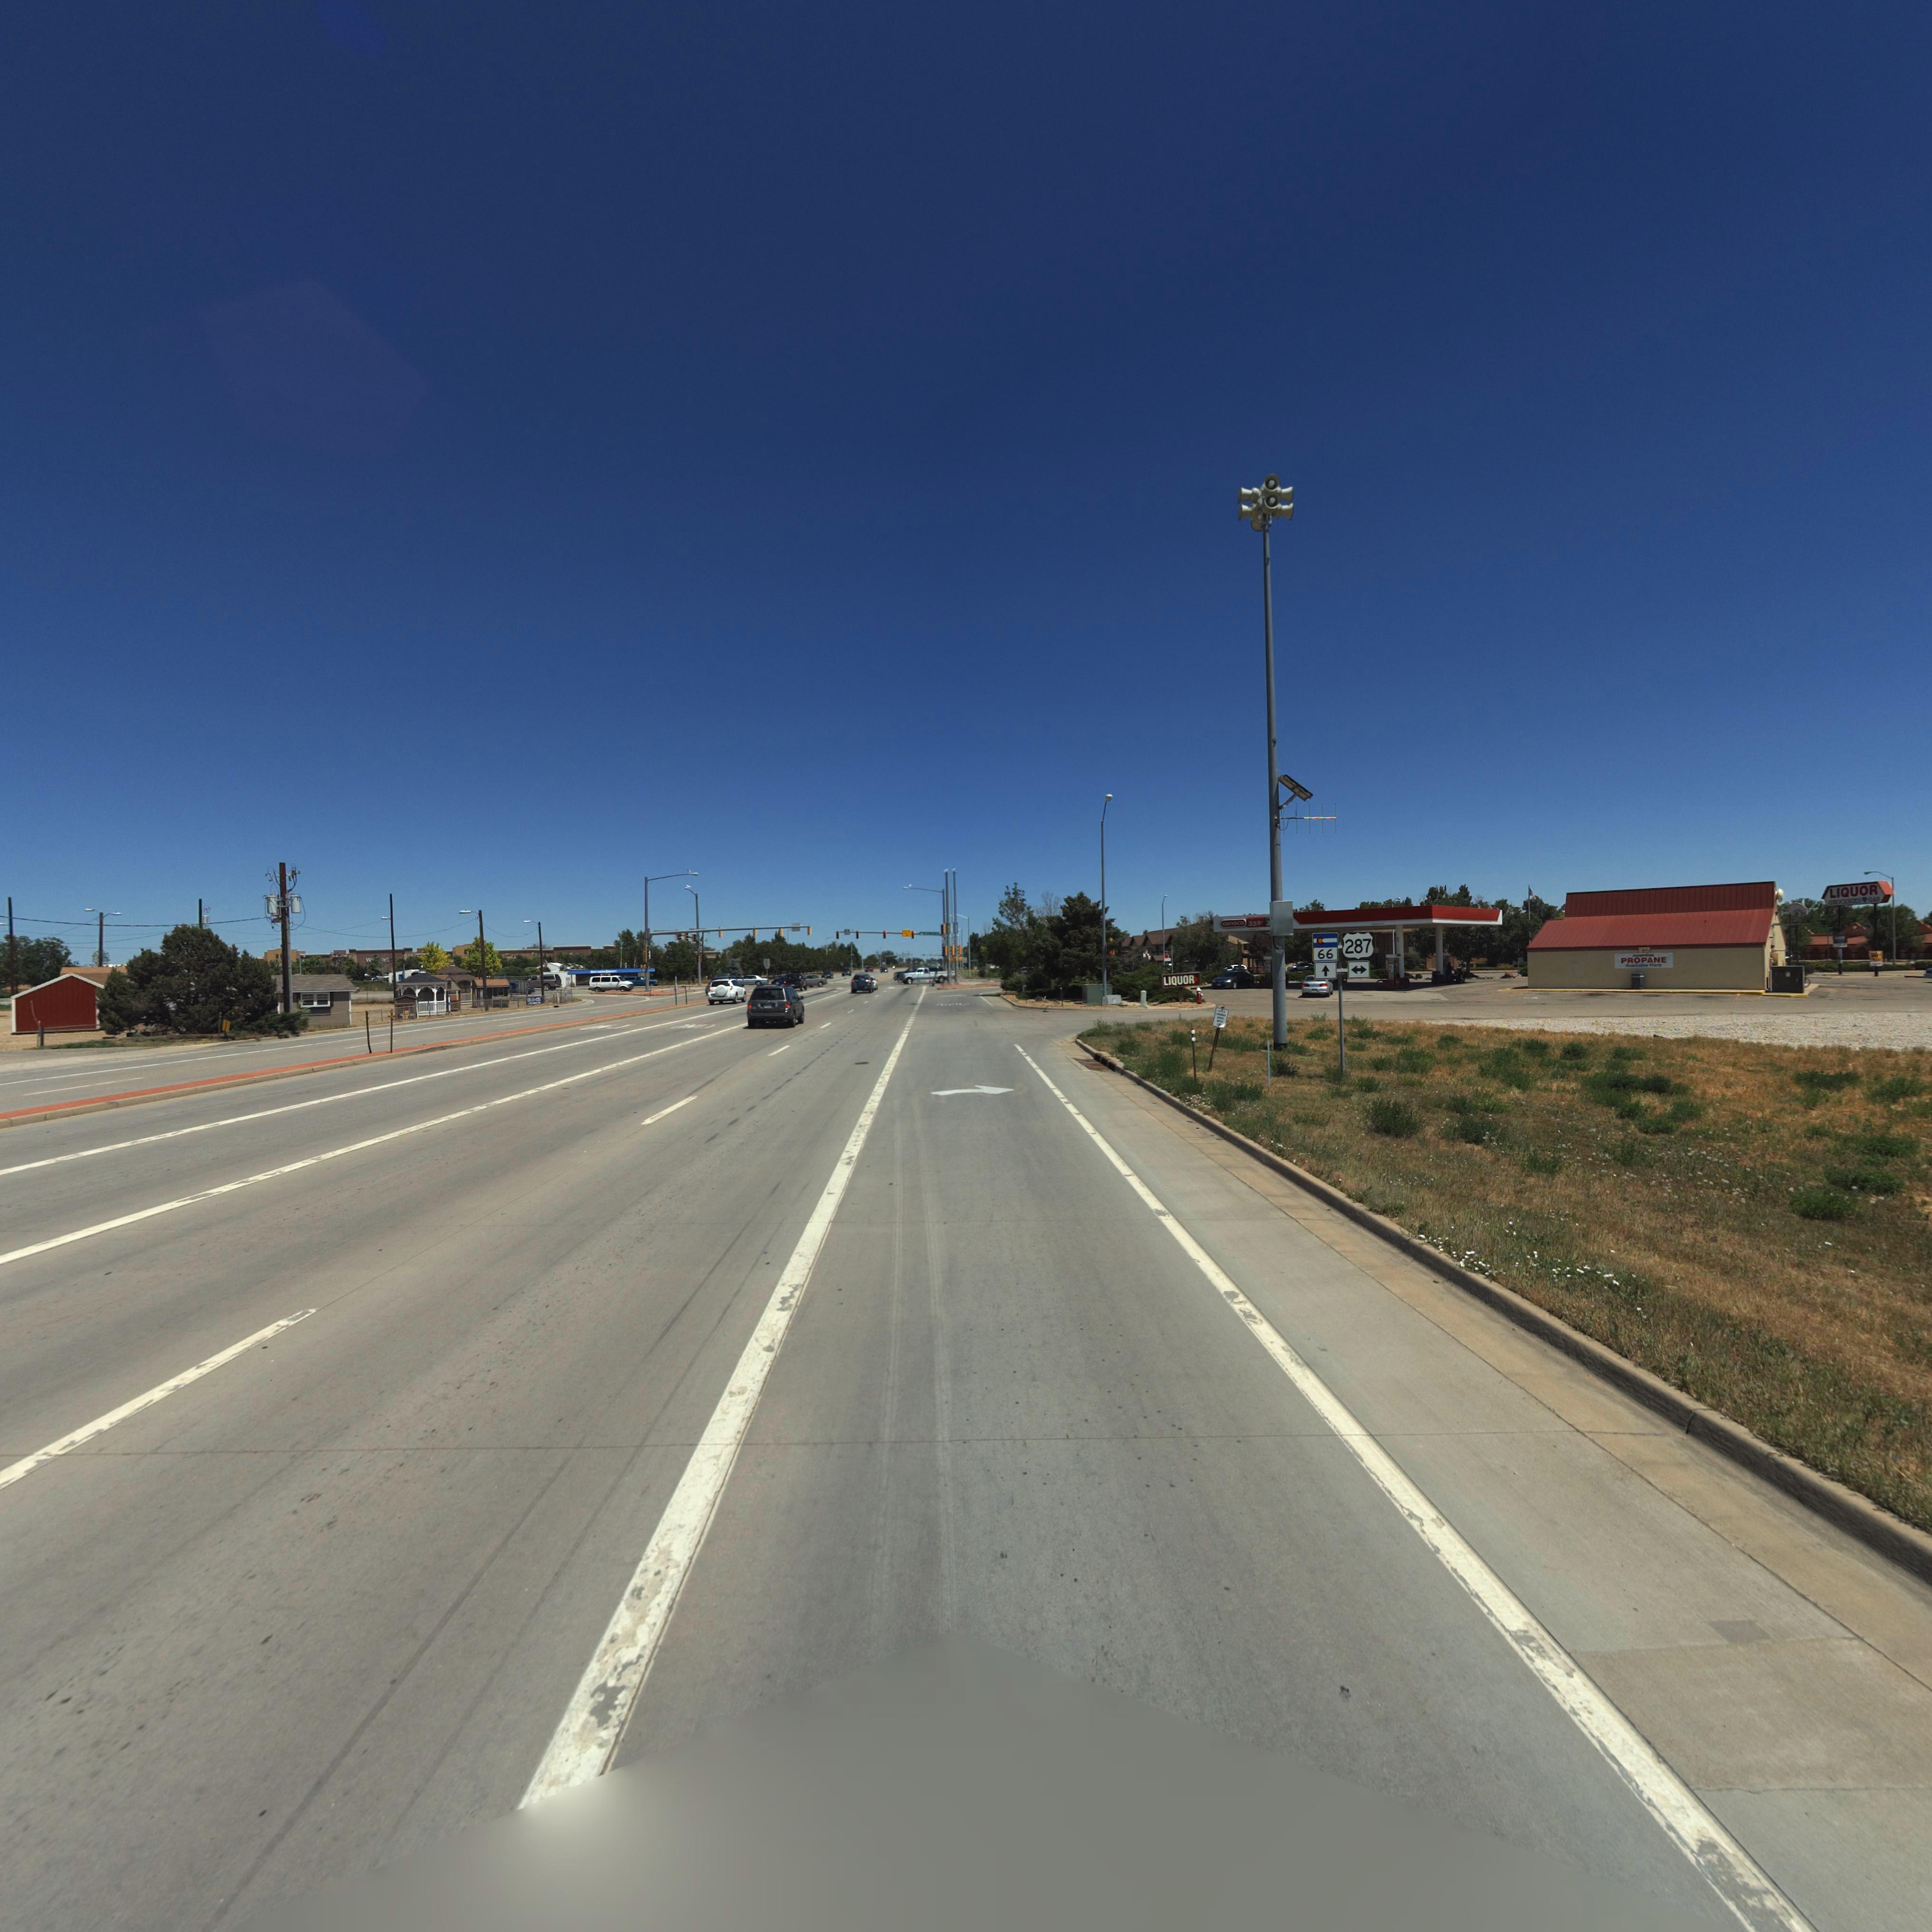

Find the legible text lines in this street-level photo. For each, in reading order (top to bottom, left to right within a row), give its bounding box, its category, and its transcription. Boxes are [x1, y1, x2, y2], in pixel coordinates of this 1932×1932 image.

[1222, 920, 1244, 926] BusinessName: conoco
[605, 969, 618, 973] BusinessName: E*****